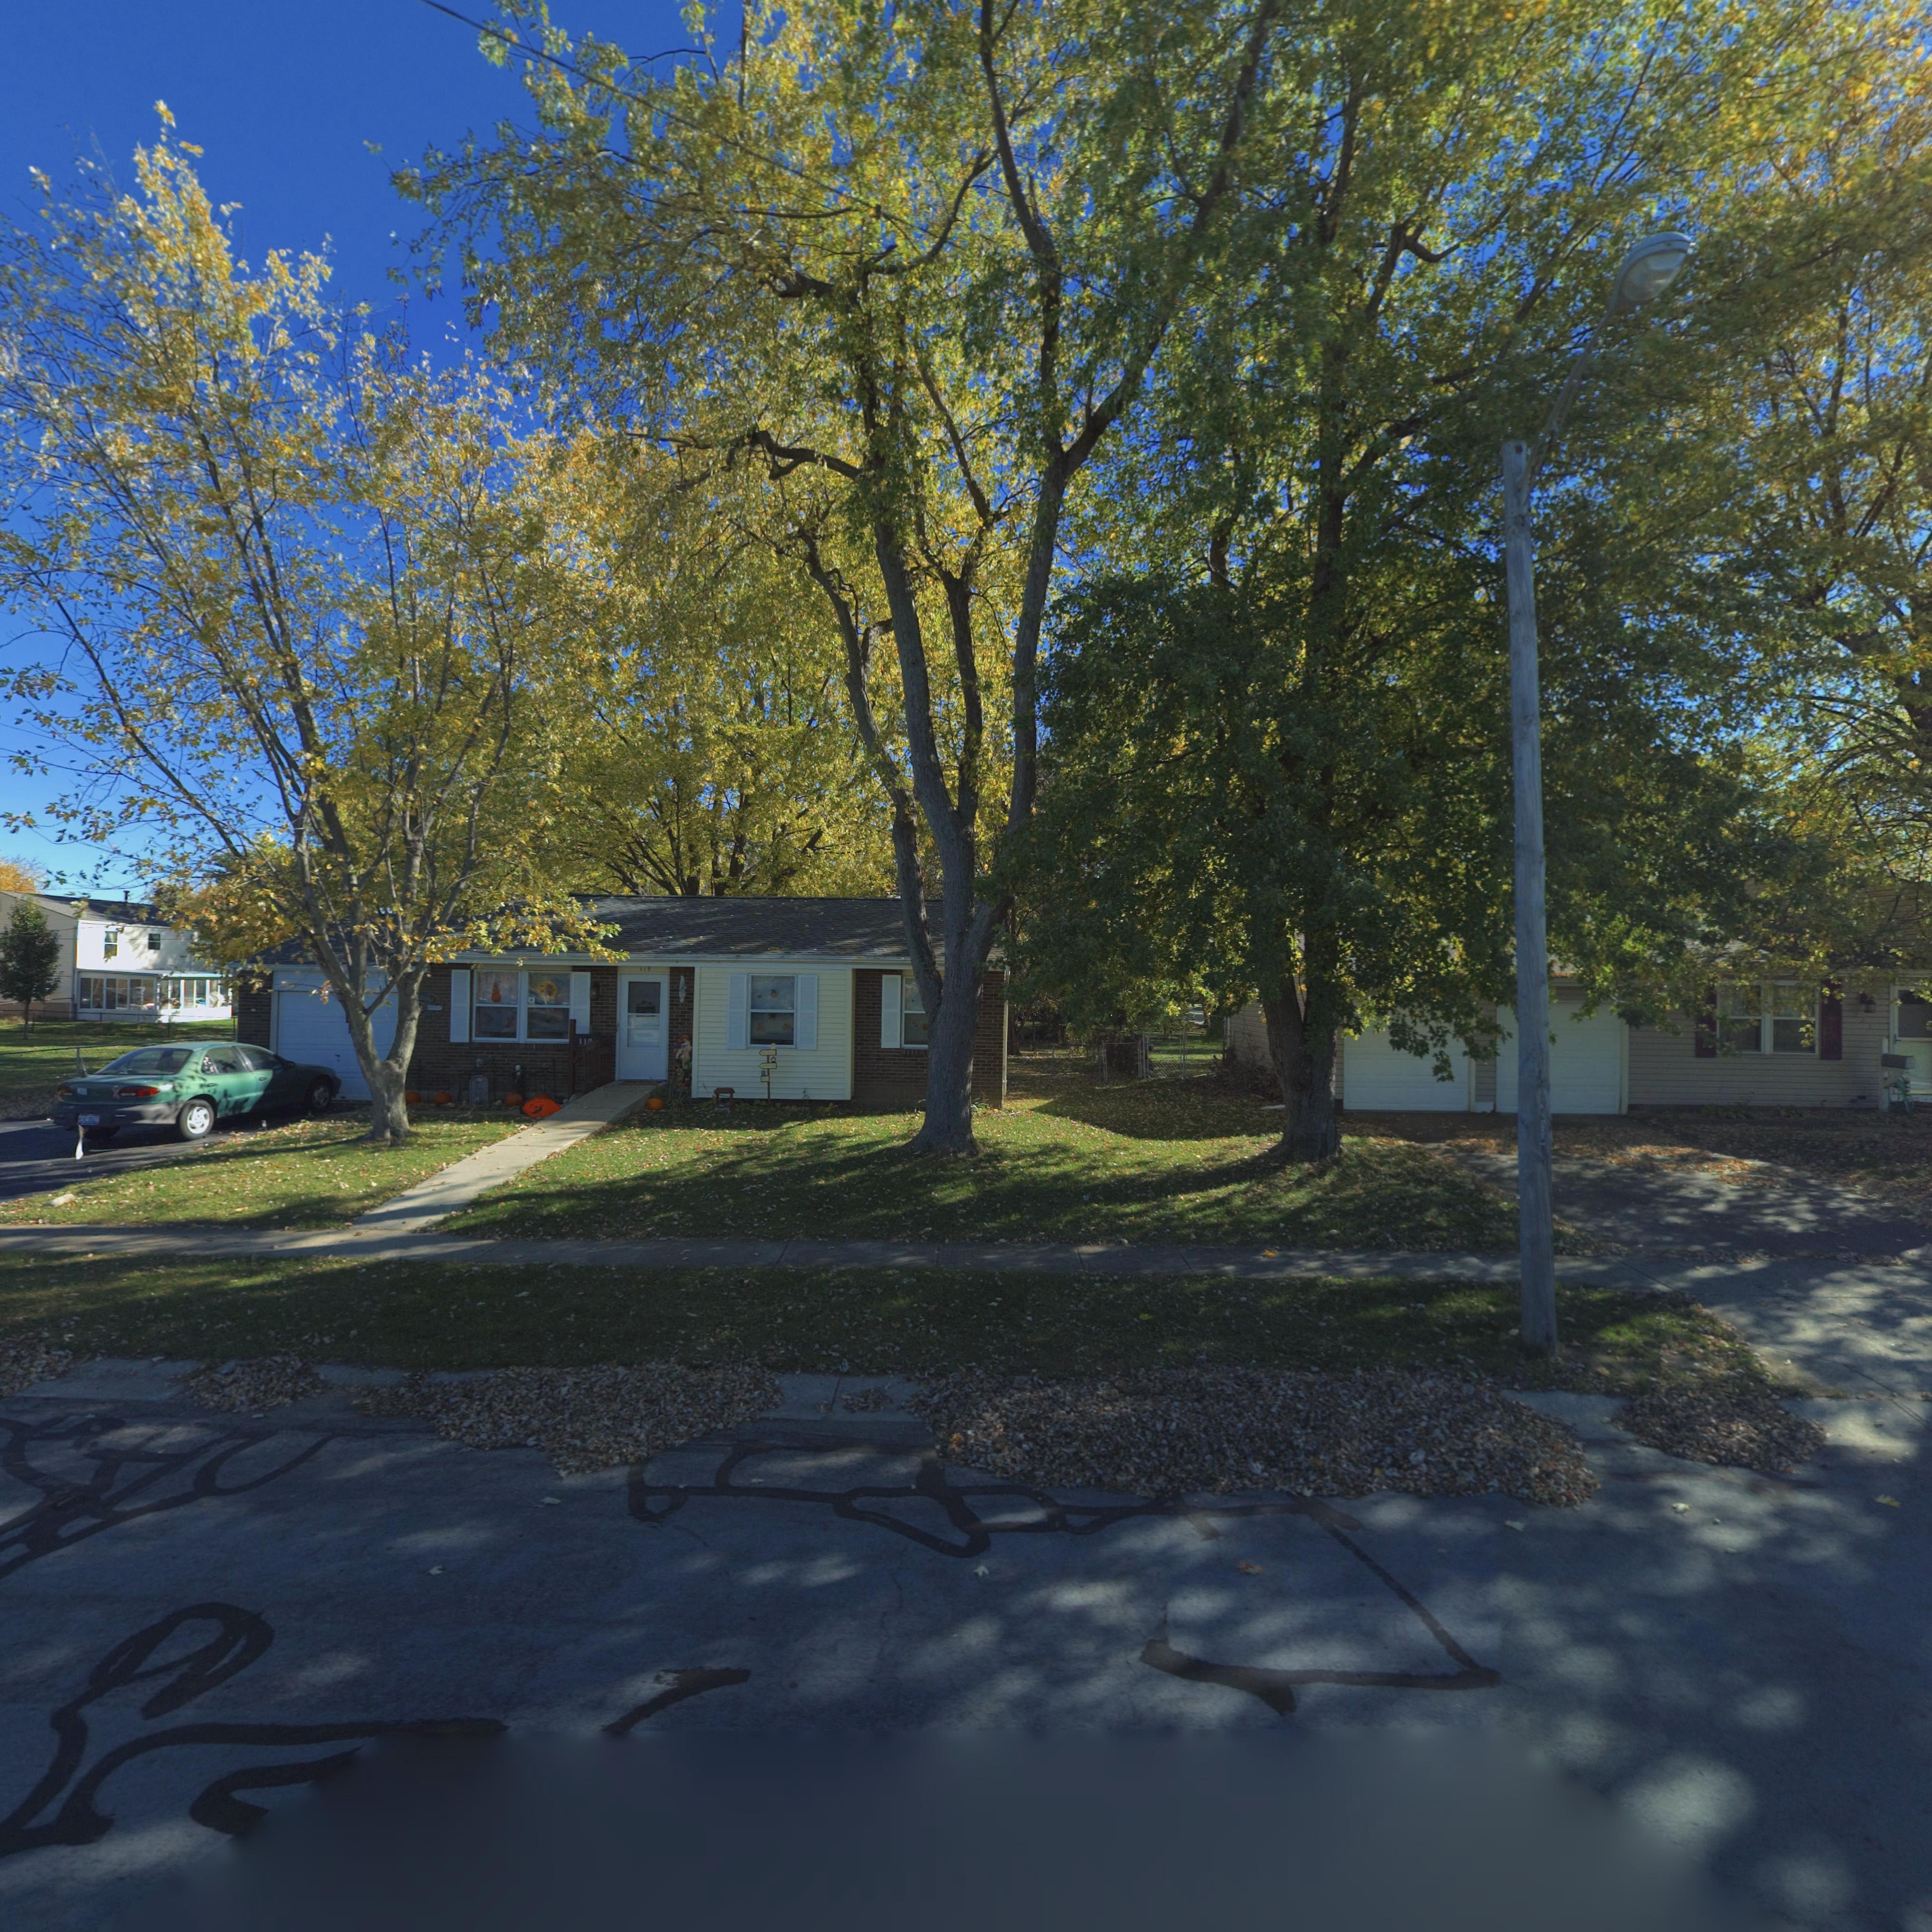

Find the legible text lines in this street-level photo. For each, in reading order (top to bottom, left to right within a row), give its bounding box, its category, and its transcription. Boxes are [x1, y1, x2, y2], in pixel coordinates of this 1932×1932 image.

[639, 966, 651, 972] StreetNumber: 119
[1854, 1011, 1873, 1030] StreetNumber: 121
[579, 1038, 587, 1045] StreetNumber: 11